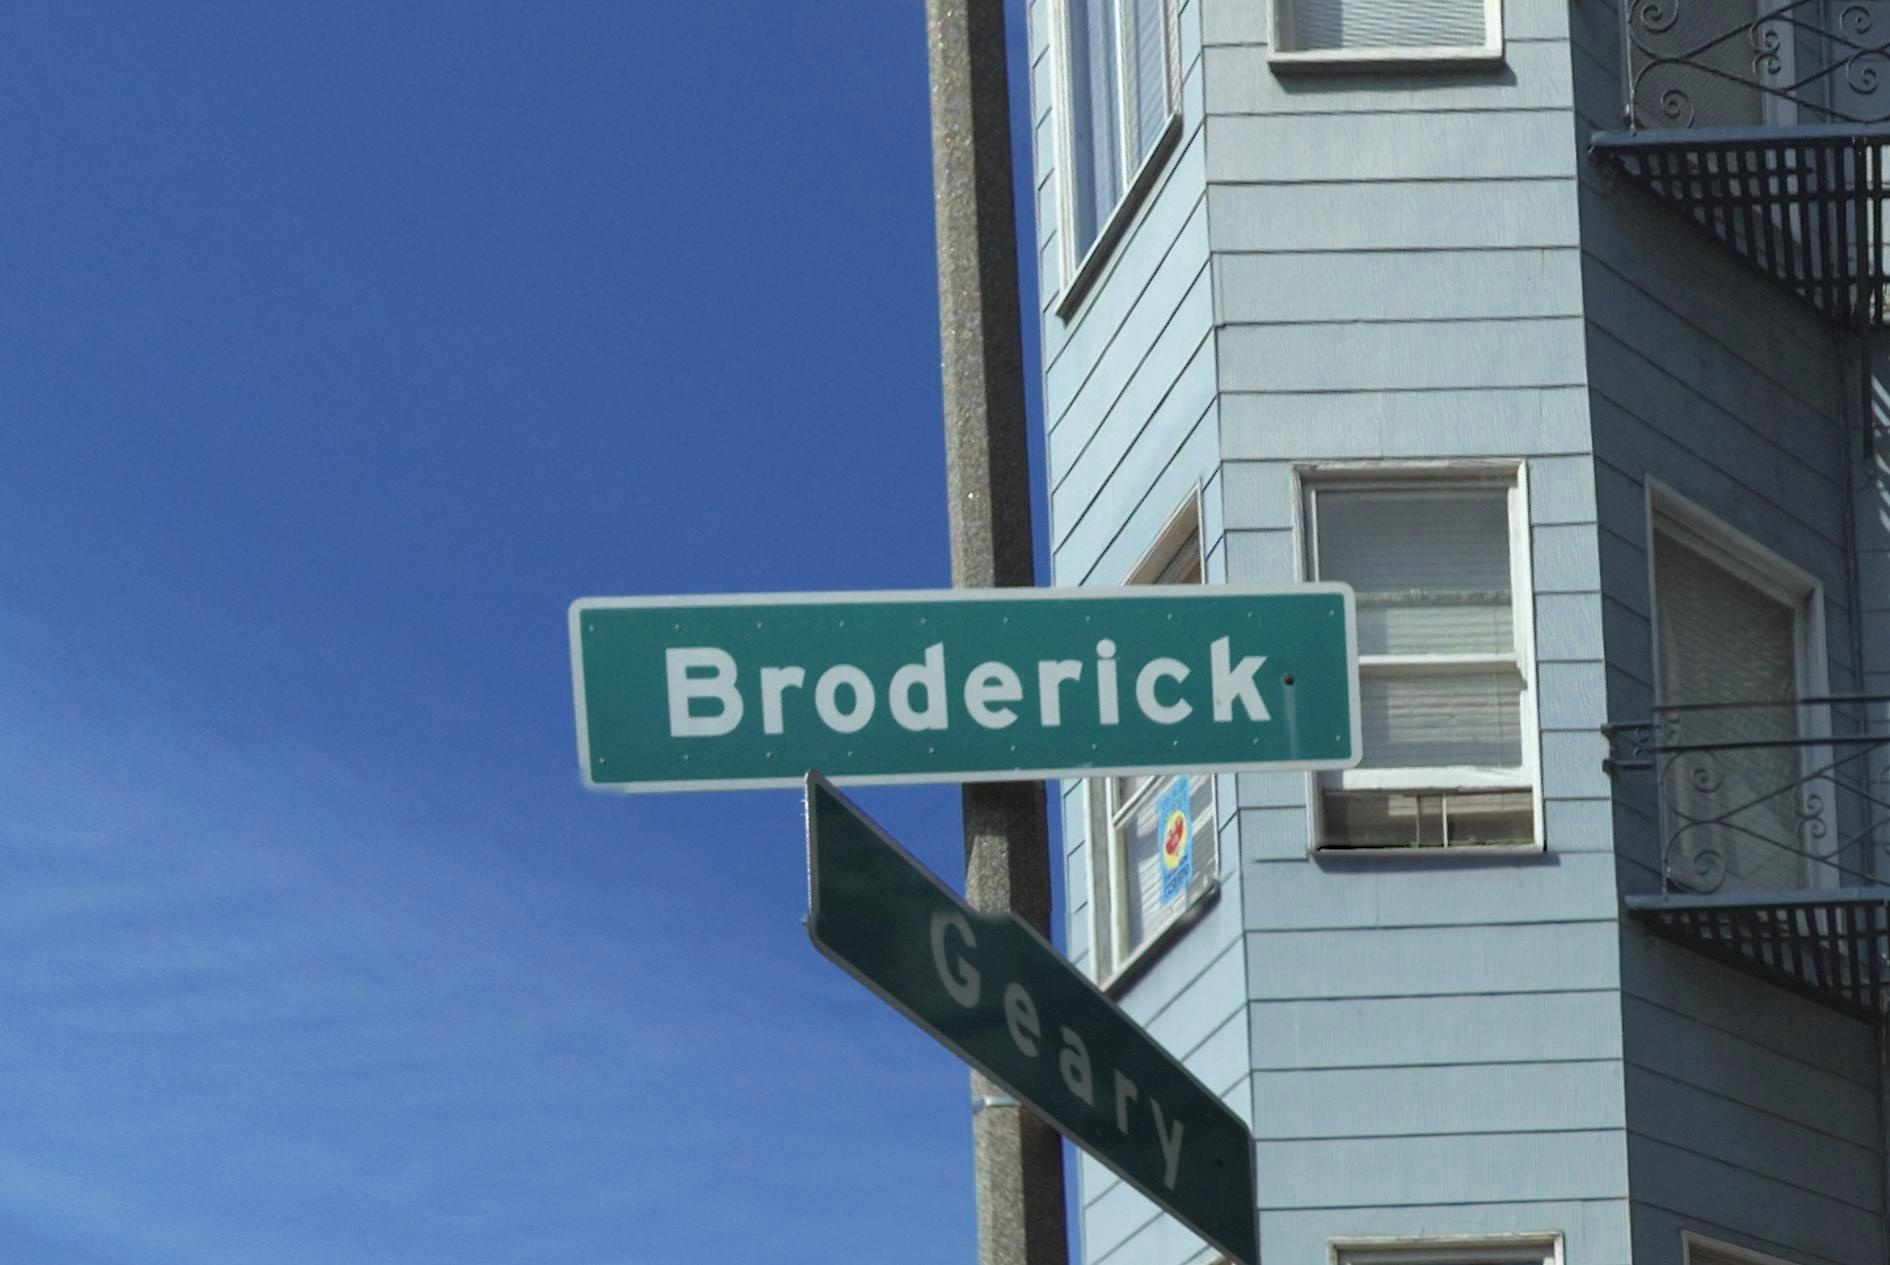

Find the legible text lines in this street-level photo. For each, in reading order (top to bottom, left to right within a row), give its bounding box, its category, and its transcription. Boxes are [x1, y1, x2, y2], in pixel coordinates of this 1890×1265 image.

[655, 630, 1284, 741] StreetName: Broderick
[917, 879, 1191, 1211] StreetName: Geary